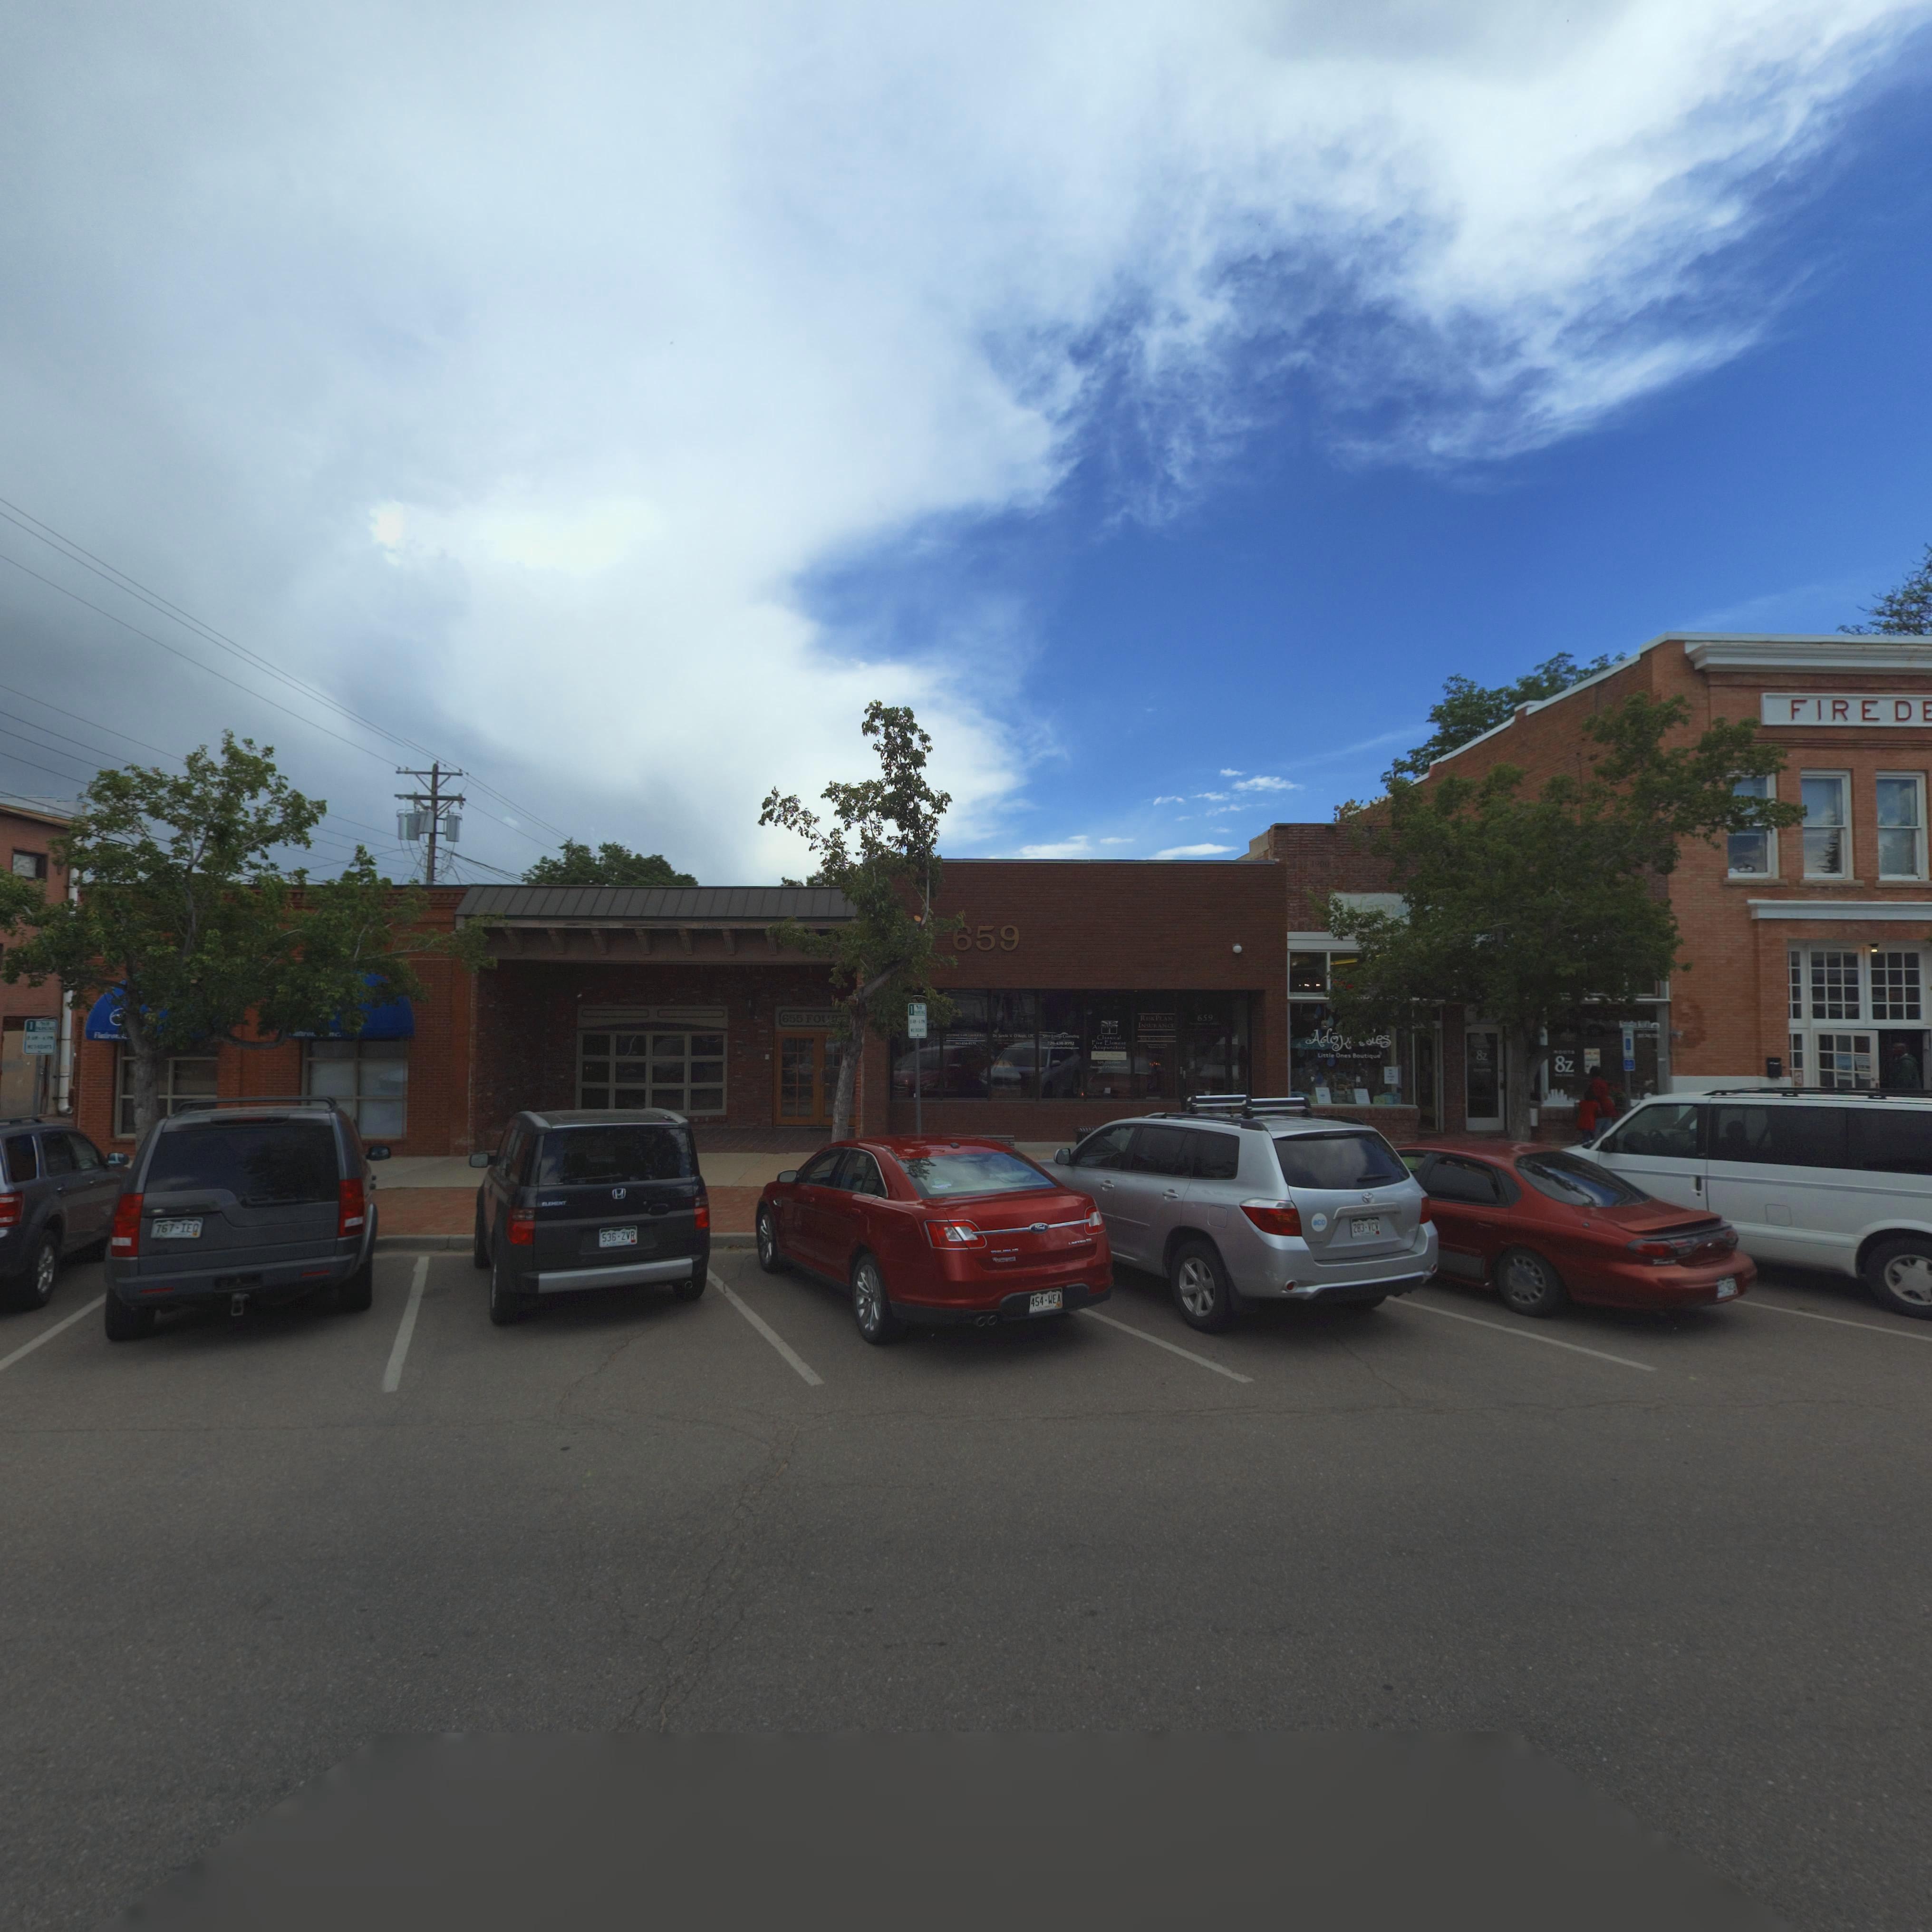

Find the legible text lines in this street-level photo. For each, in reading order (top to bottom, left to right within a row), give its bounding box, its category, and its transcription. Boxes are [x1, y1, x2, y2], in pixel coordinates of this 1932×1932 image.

[953, 925, 1024, 951] StreetNumber: 659
[782, 1014, 803, 1023] StreetNumber: 655
[805, 1014, 830, 1023] StreetName: FO*
[1140, 1015, 1172, 1021] BusinessName: RISK PLAN
[1197, 1014, 1213, 1021] StreetNumber: 659
[1138, 1022, 1174, 1028] BusinessName: INSURANCE
[94, 1031, 126, 1038] BusinessName: Fl*t*r**
[992, 1033, 1035, 1038] BusinessName: Dr. l**** ** * o***** **
[1041, 1034, 1080, 1039] BusinessName: S*** L***** Co***e****
[1305, 1028, 1391, 1051] BusinessName: AdoR****es
[1317, 1052, 1380, 1060] BusinessName: Little Ones Boutiqu*